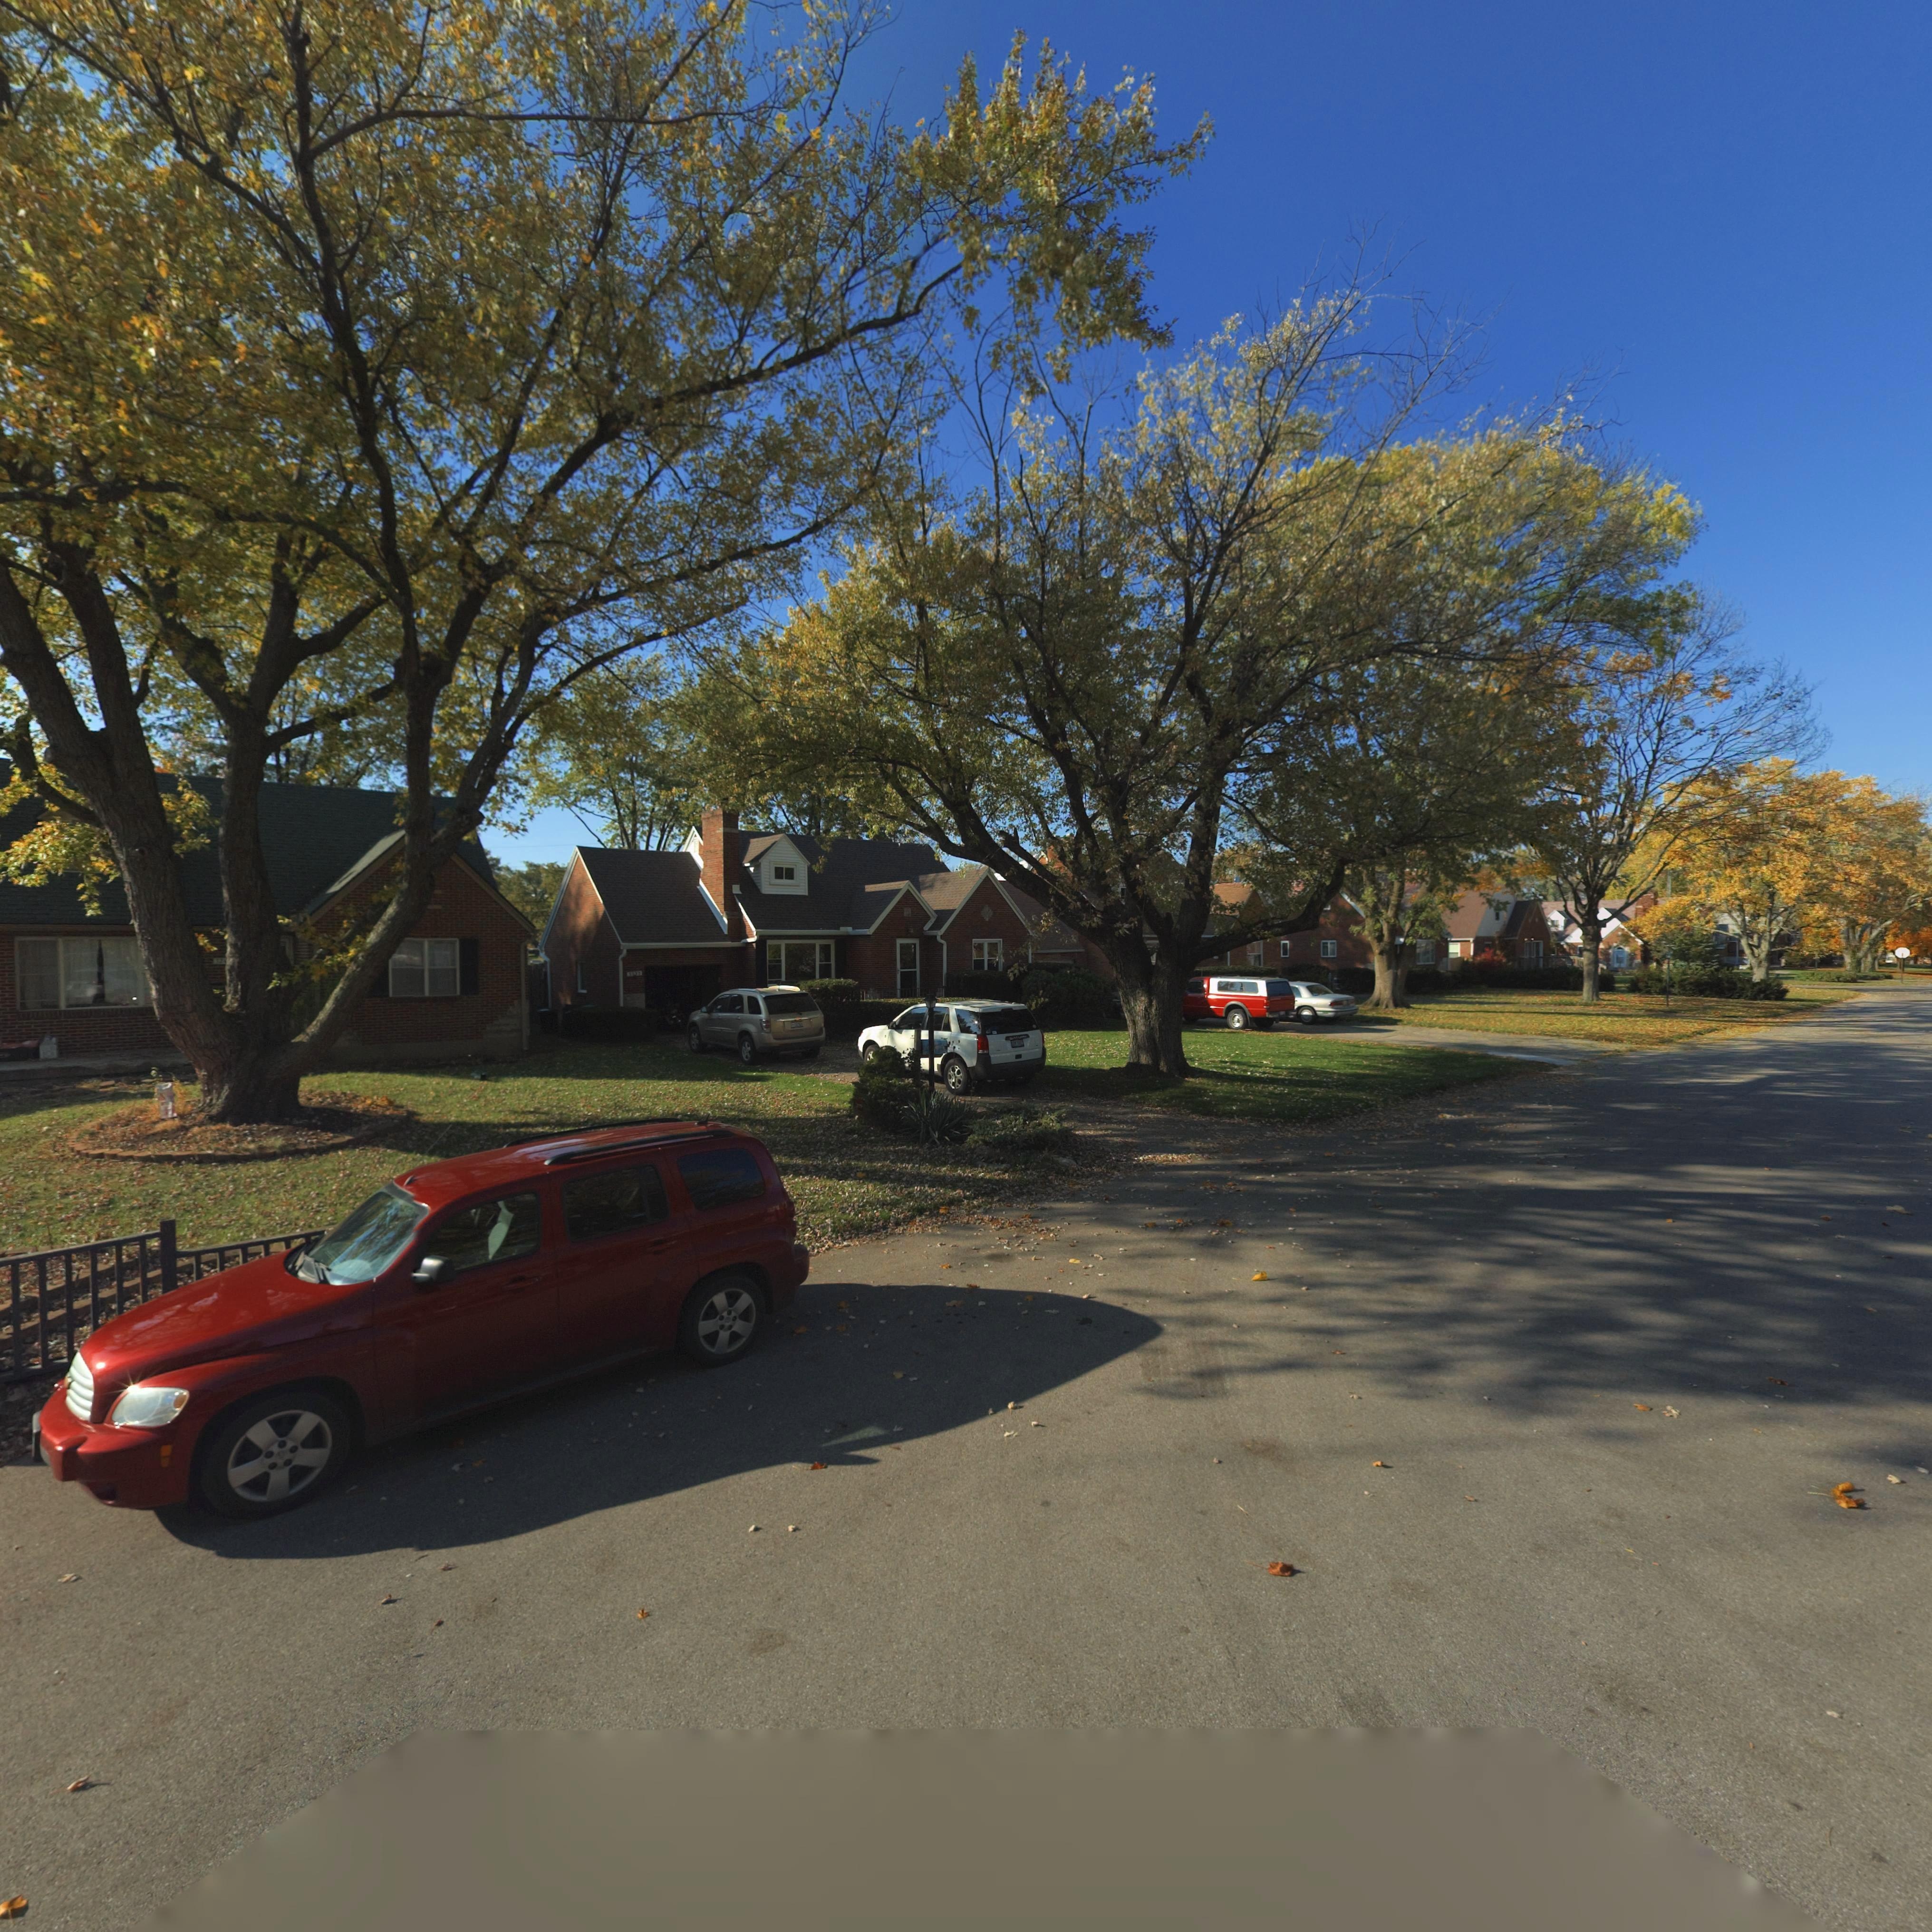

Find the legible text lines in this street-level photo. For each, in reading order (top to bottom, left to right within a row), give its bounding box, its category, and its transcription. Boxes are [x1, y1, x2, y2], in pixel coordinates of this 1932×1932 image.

[214, 958, 227, 964] StreetNumber: 324